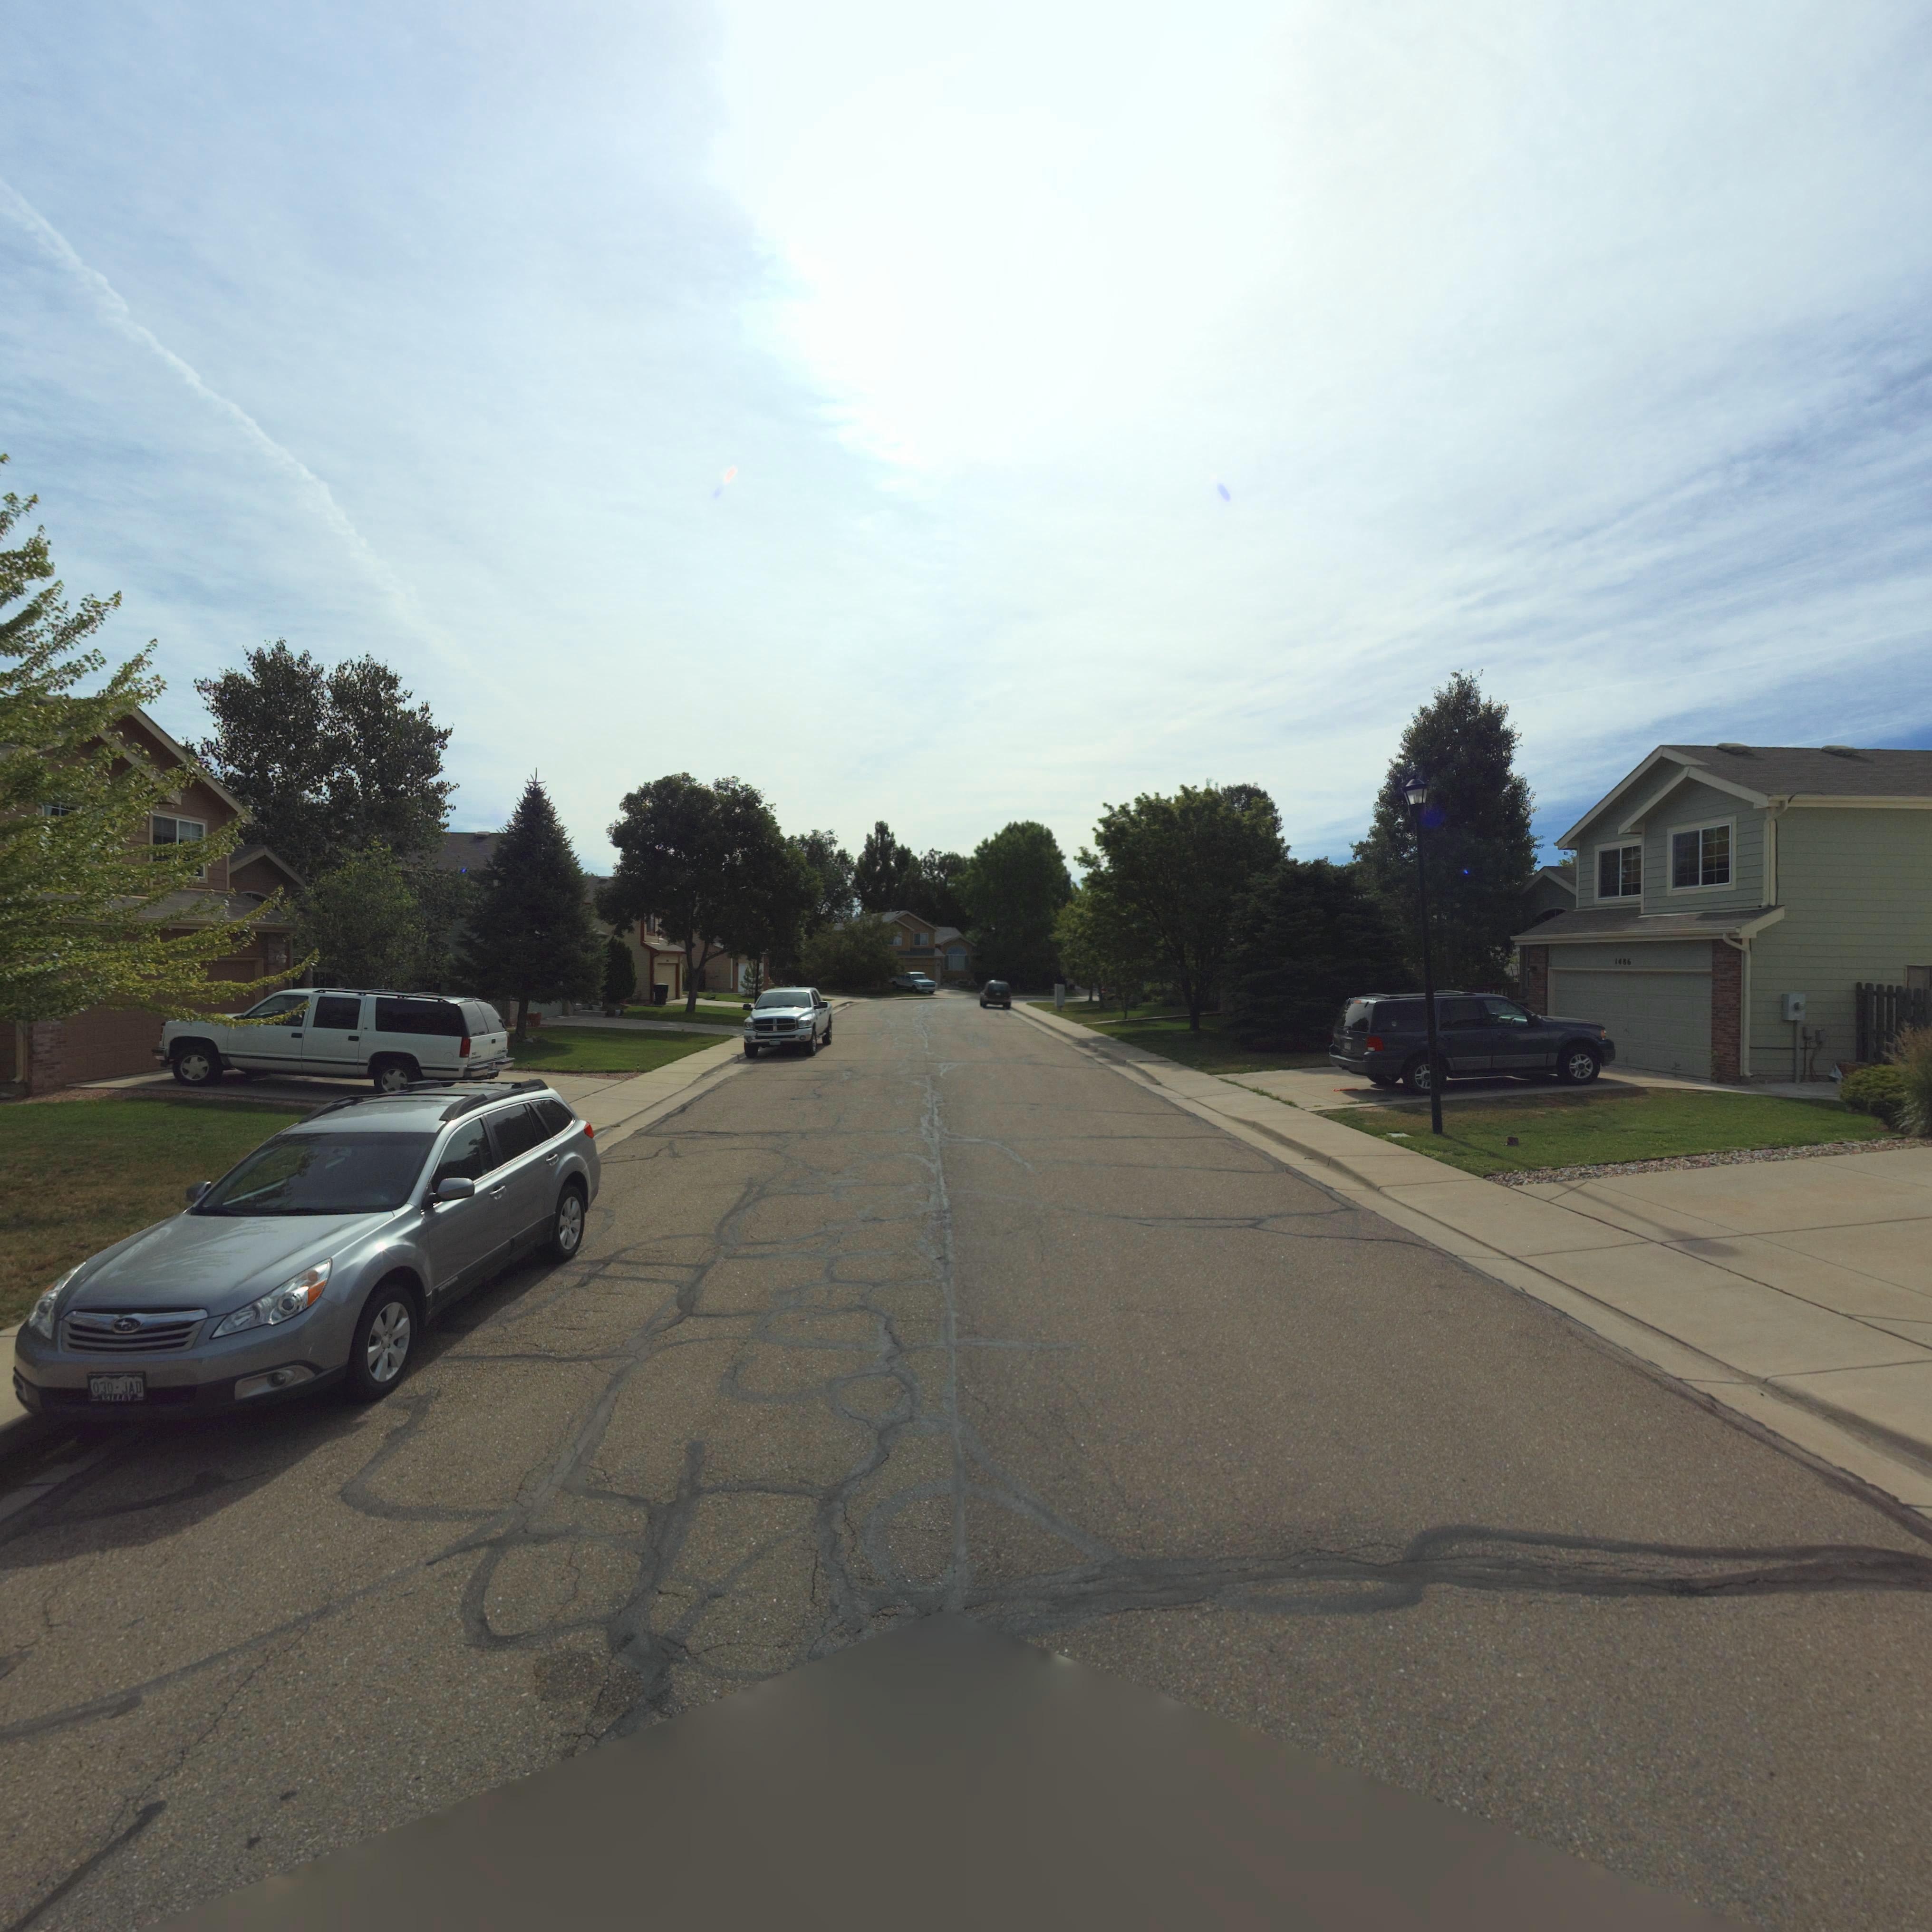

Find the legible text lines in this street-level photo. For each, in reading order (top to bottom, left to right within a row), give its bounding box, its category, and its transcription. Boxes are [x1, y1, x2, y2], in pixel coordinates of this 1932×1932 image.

[1614, 957, 1631, 965] StreetNumber: 1486